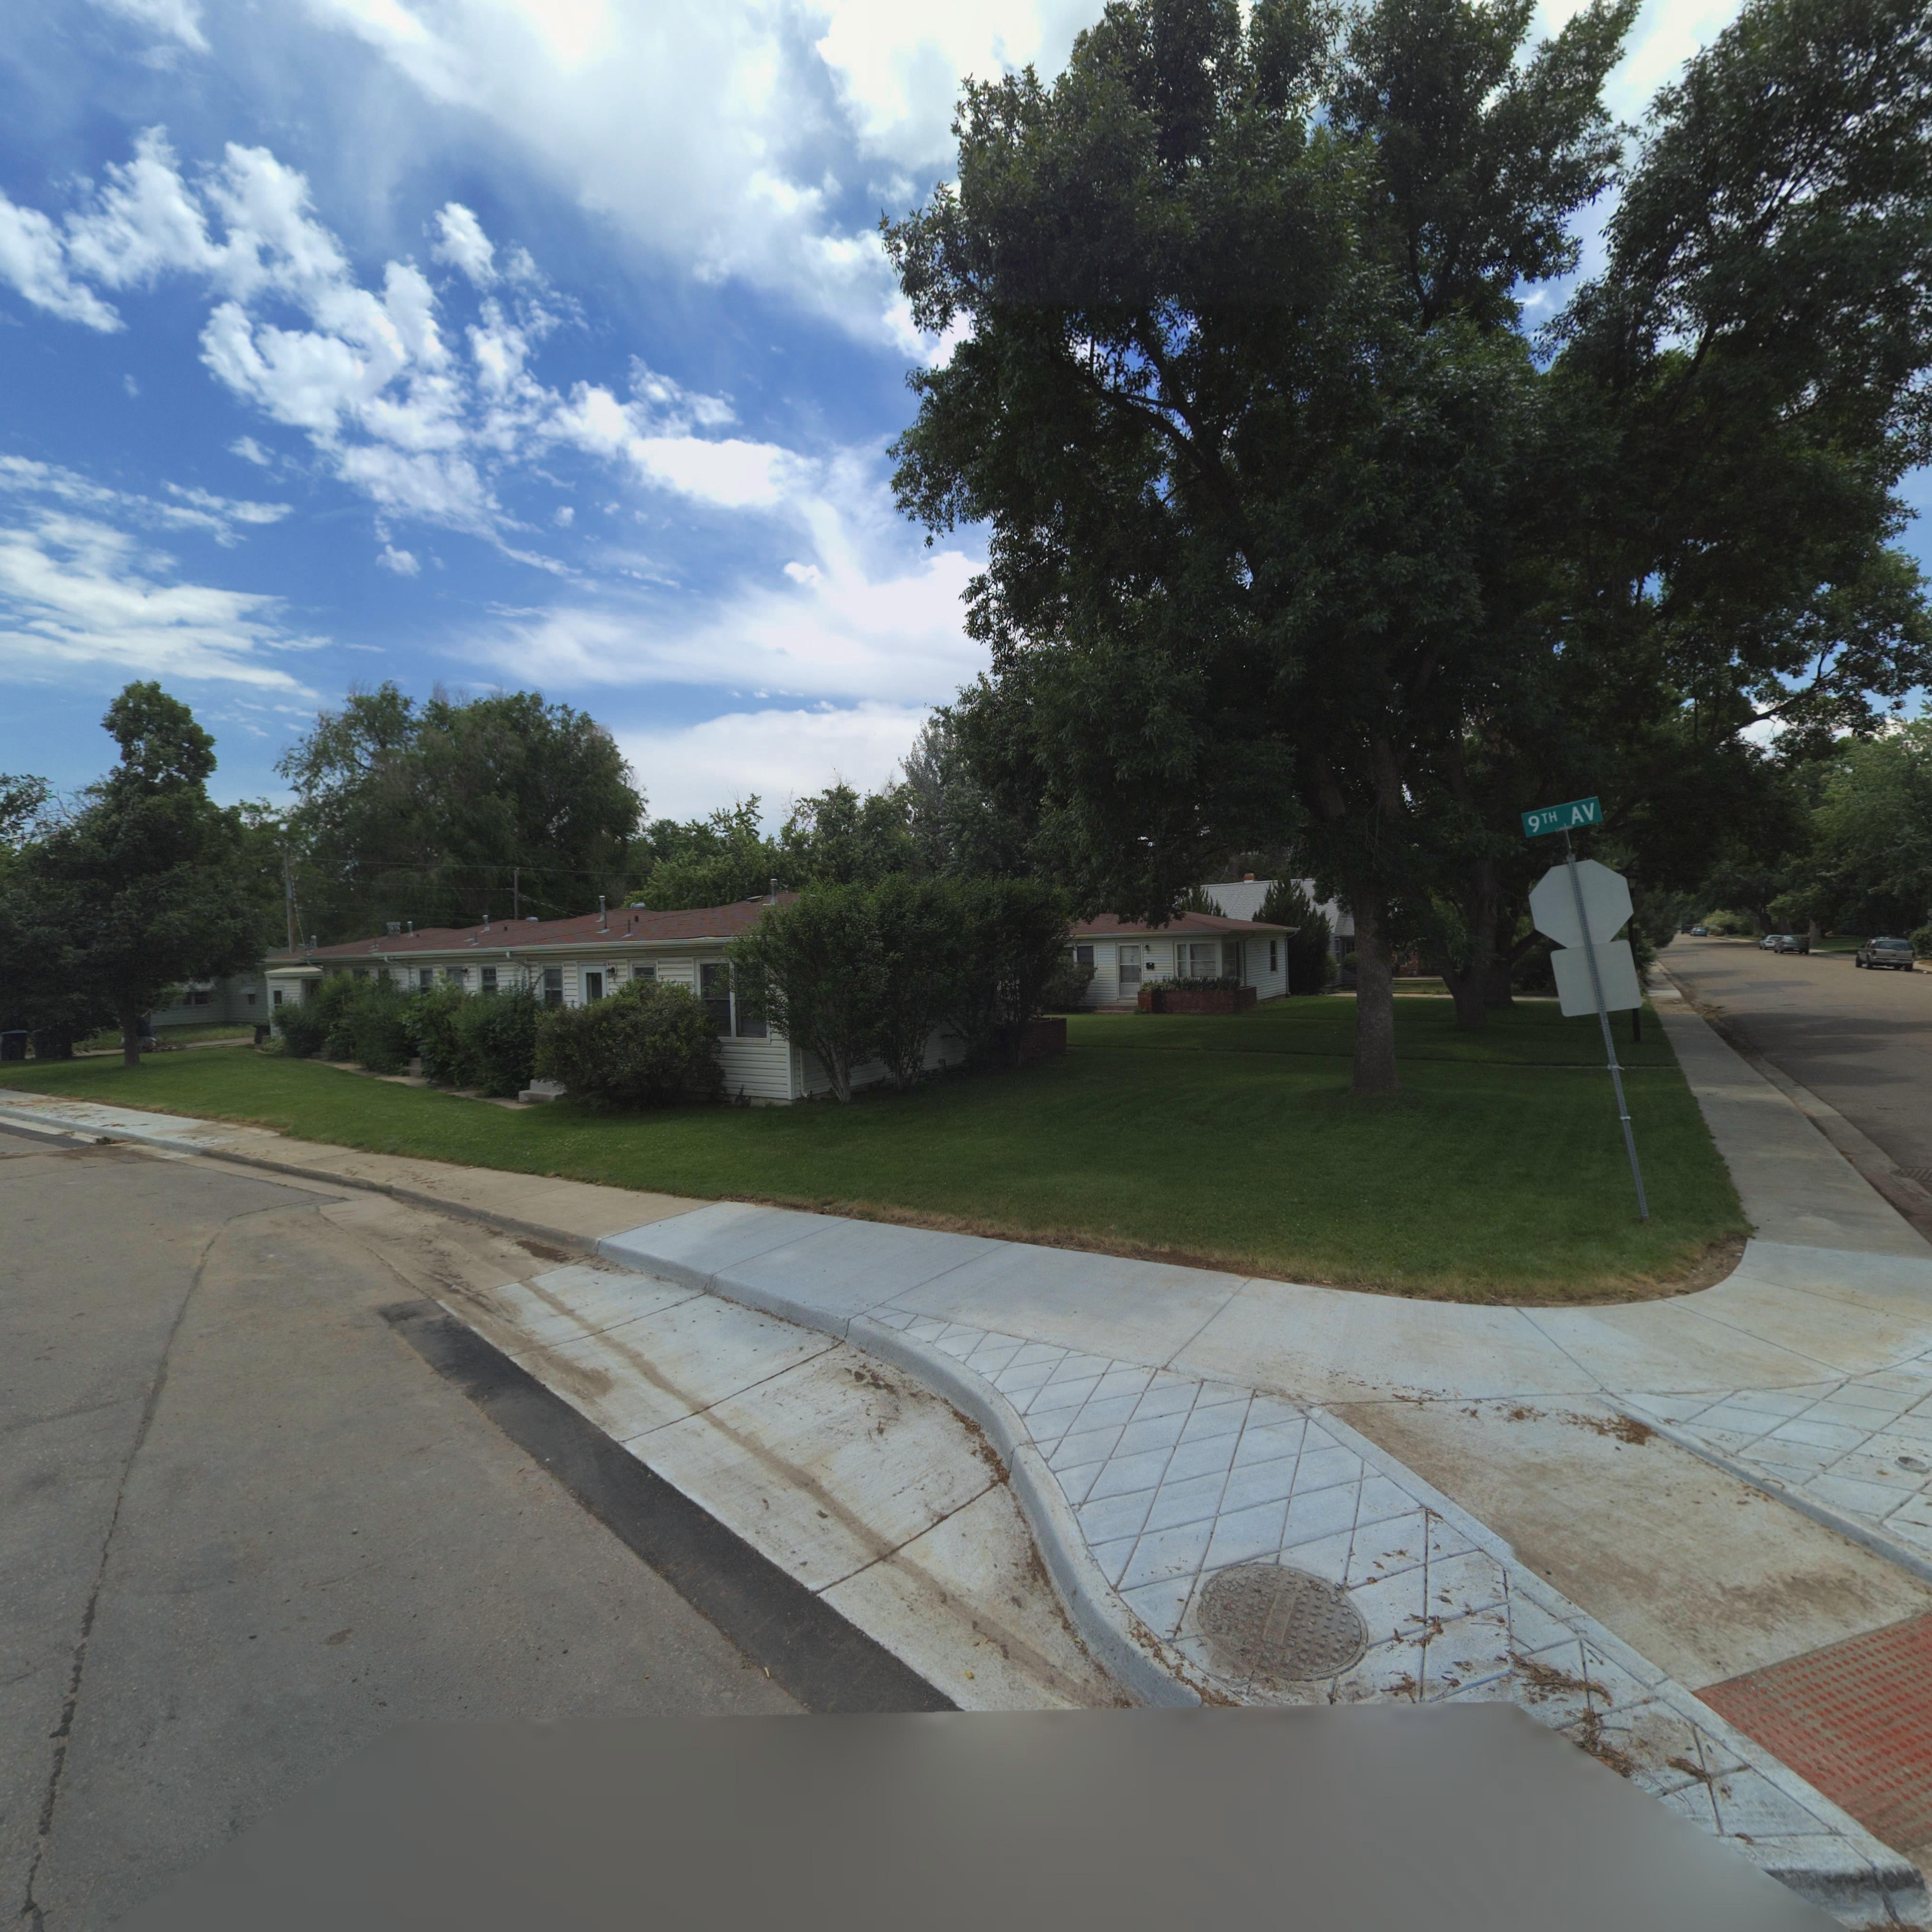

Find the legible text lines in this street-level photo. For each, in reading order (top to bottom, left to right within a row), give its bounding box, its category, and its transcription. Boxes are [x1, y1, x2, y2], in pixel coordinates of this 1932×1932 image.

[1526, 802, 1601, 832] StreetName: 9TH AV